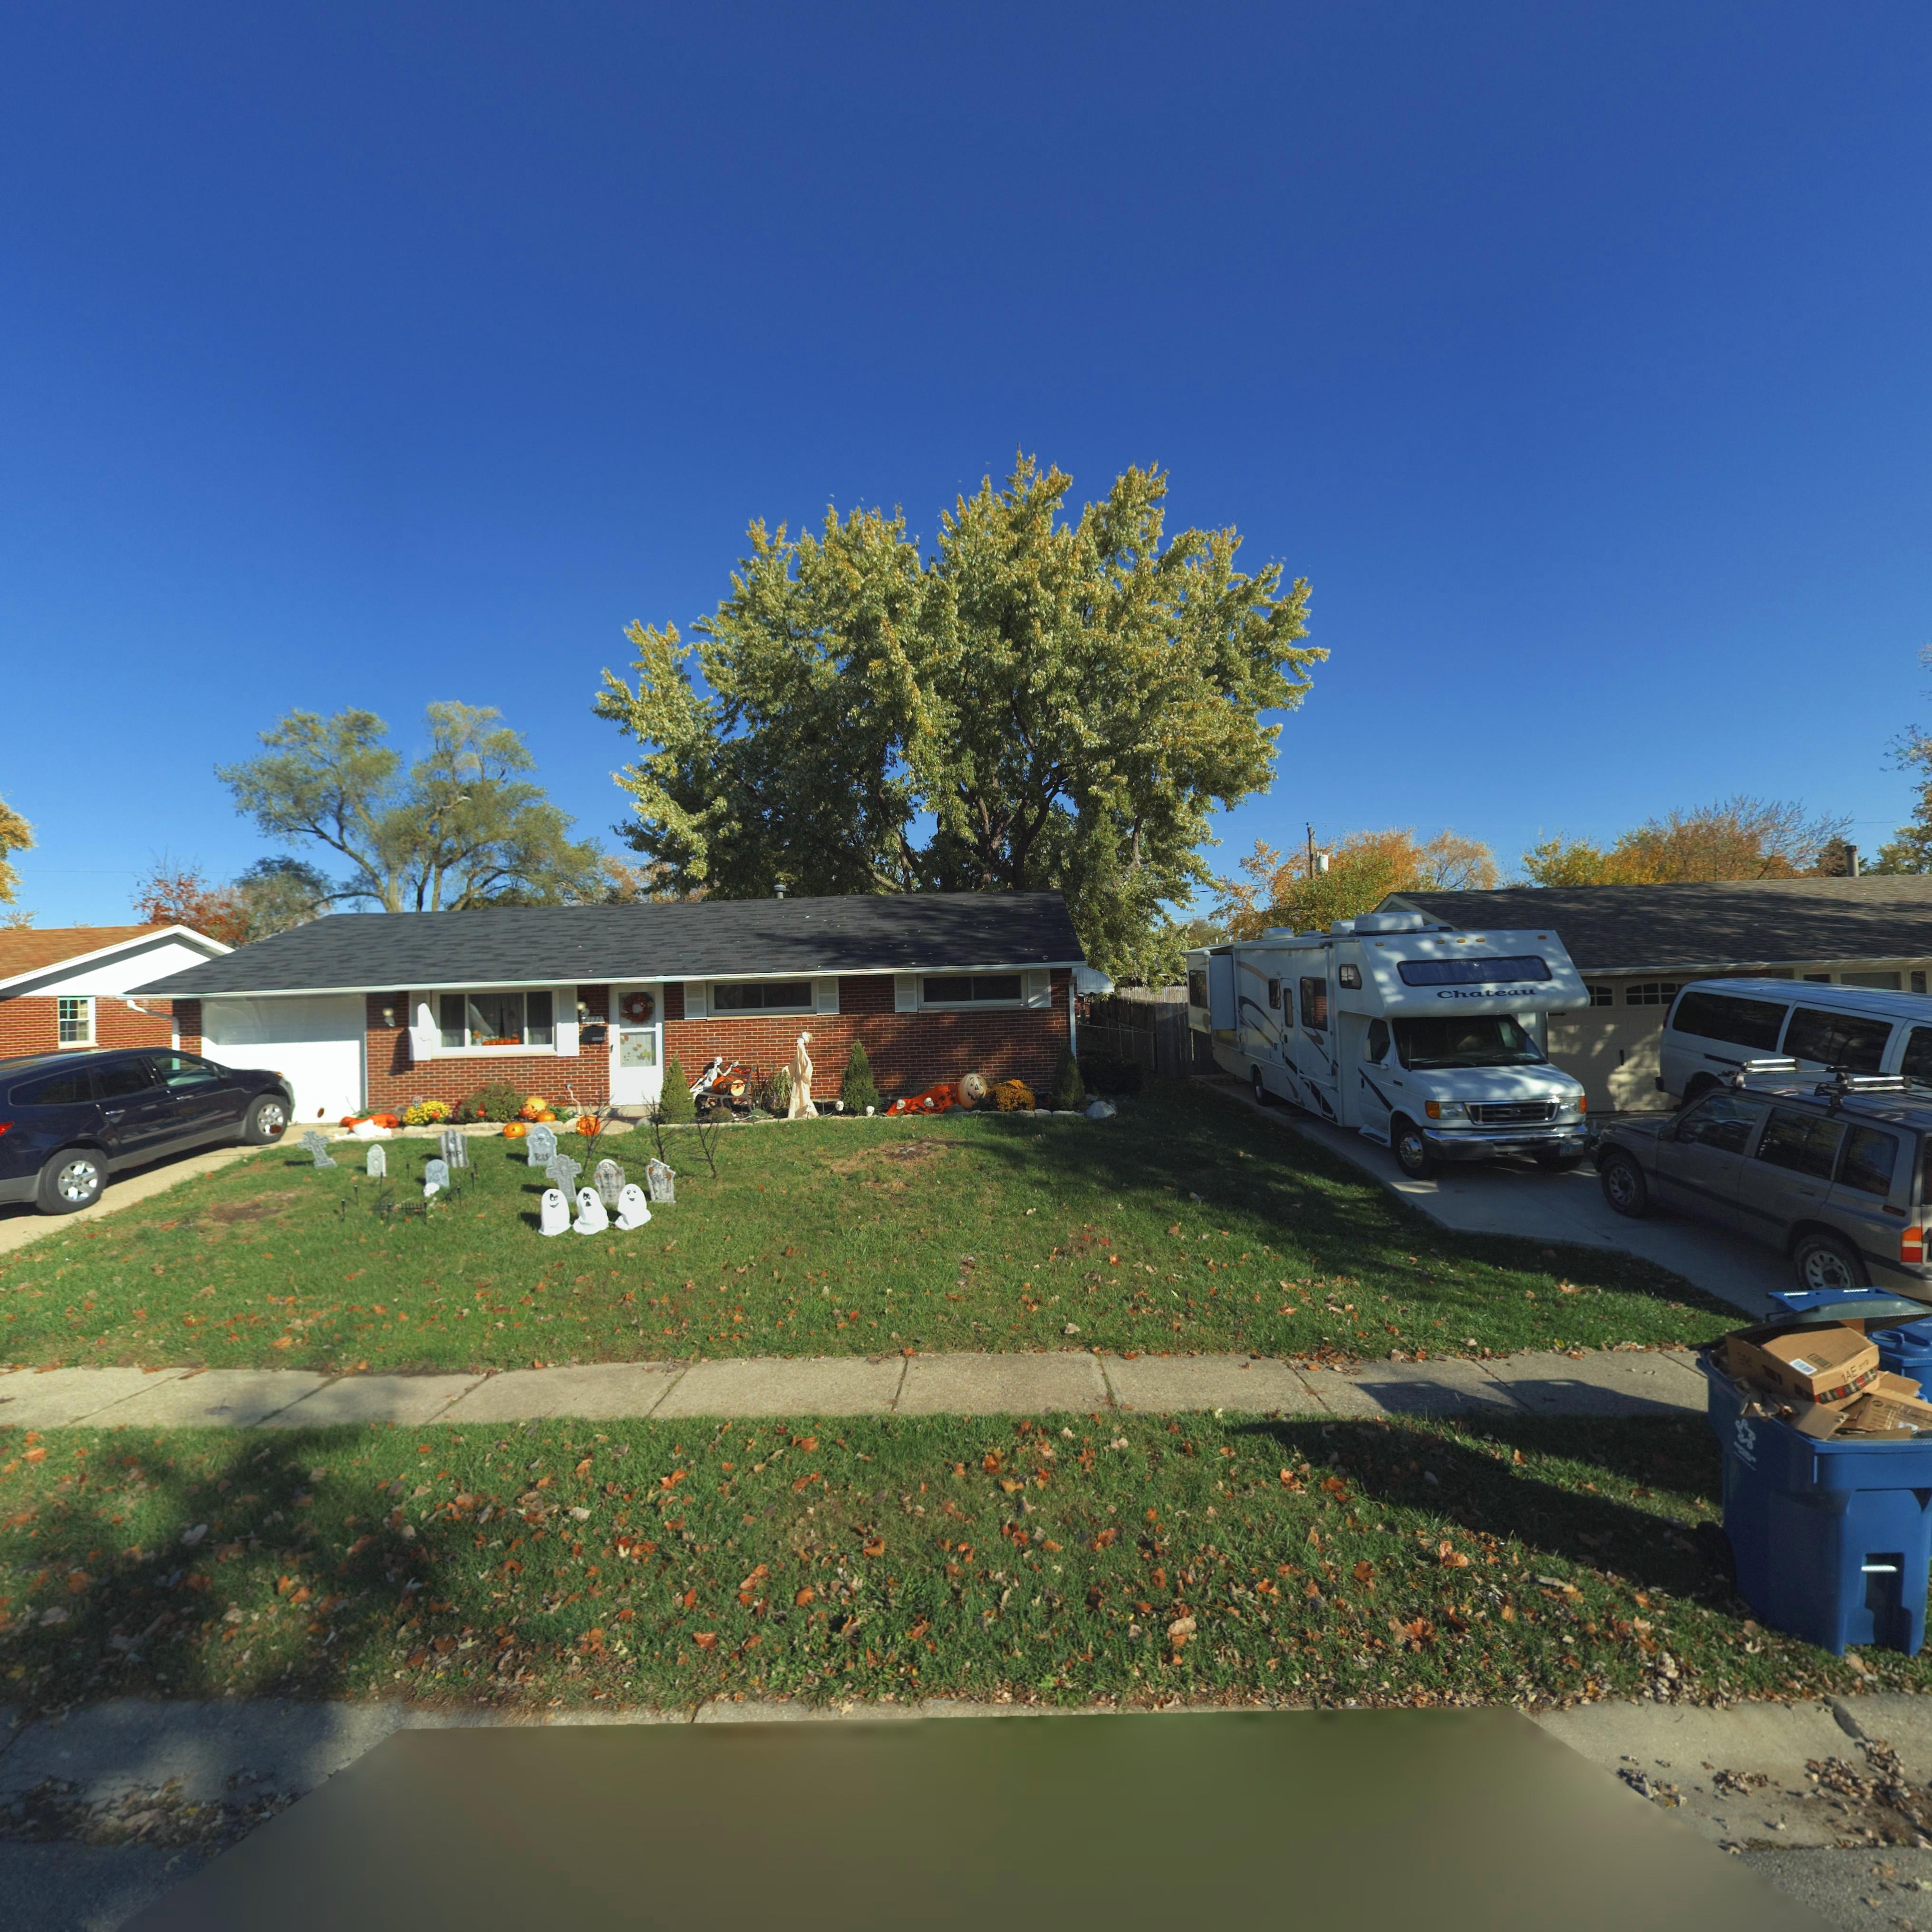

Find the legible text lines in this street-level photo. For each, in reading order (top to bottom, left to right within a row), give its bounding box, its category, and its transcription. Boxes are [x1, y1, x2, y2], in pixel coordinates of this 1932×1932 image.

[583, 1016, 602, 1024] StreetNumber: 6137